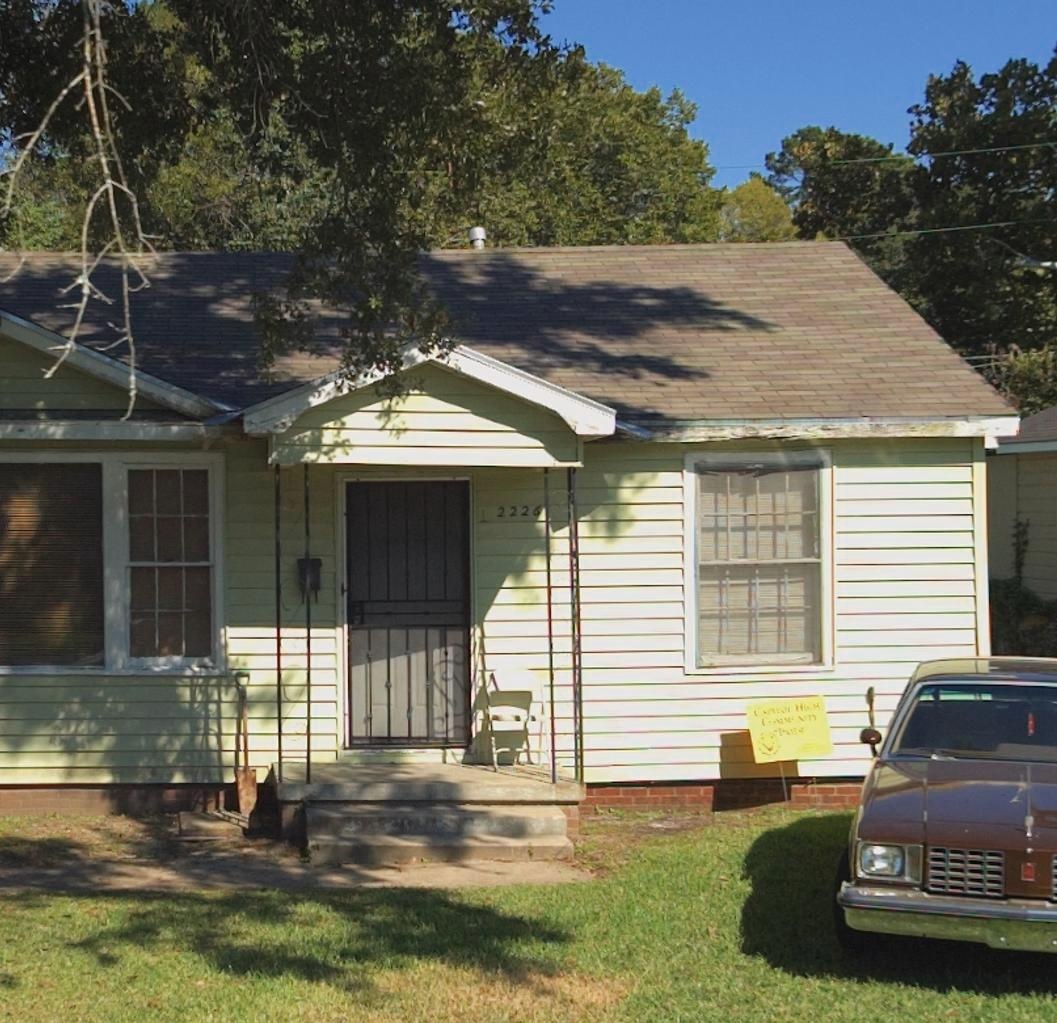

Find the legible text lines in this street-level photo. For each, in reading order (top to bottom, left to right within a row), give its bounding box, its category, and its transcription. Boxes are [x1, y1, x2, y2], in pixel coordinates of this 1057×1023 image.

[496, 504, 544, 518] StreetNumber: 2226